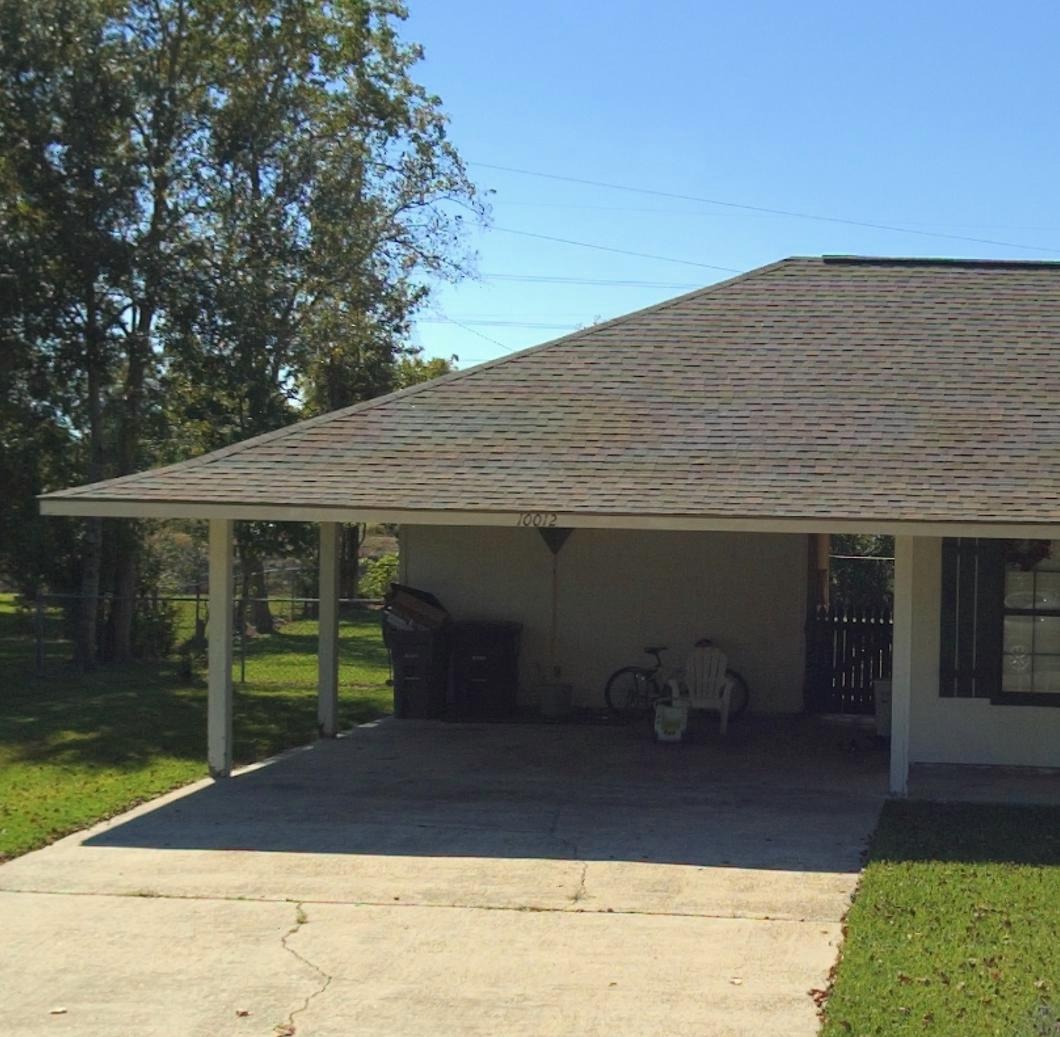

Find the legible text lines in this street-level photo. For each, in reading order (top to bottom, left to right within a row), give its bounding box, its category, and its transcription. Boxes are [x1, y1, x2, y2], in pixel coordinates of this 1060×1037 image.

[514, 512, 559, 527] StreetNumber: 10012